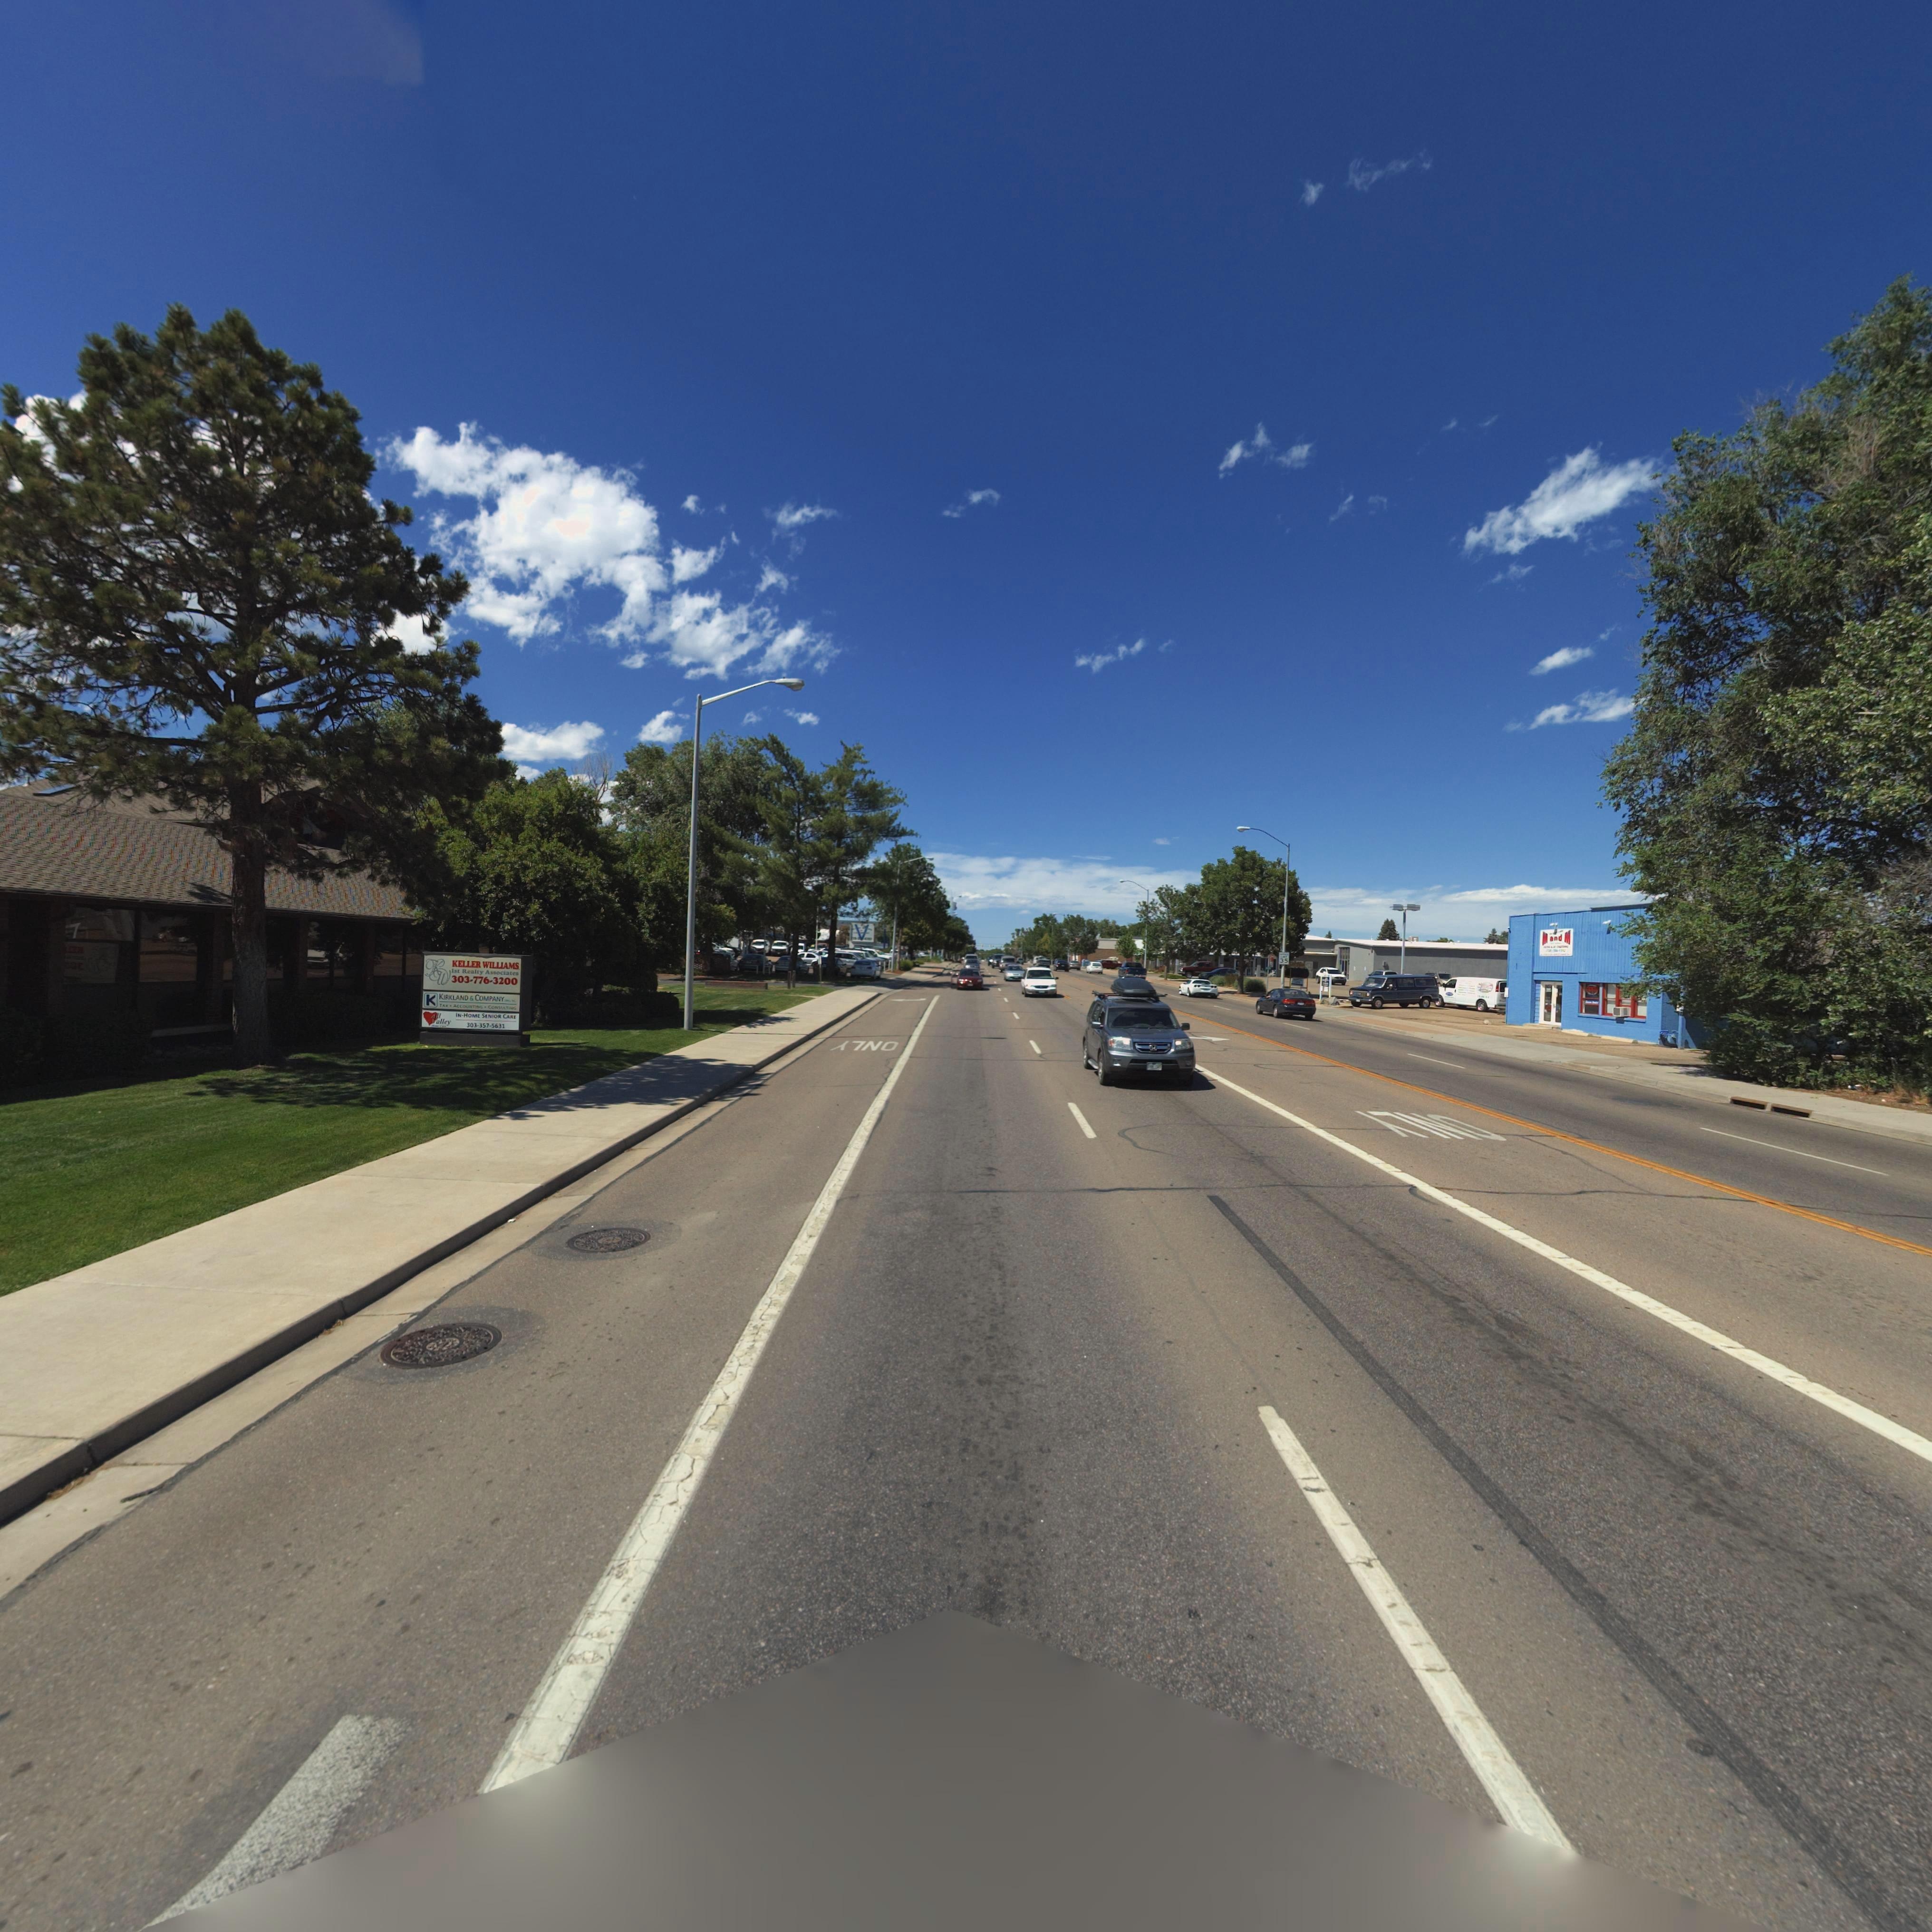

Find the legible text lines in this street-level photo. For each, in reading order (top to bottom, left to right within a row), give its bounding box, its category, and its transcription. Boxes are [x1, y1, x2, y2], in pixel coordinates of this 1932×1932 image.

[1542, 929, 1571, 946] BusinessName: M and M
[432, 959, 444, 976] BusinessName: K
[451, 968, 519, 976] BusinessName: 1st Realty Associates
[452, 959, 520, 970] BusinessName: KELLER WILLIAMS
[437, 969, 451, 985] BusinessName: W
[425, 994, 436, 1006] BusinessName: K
[438, 993, 505, 1002] BusinessName: KIRKLAND & COMPANY
[430, 1013, 442, 1019] BusinessName: All
[455, 1012, 517, 1019] BusinessName: IN-HOME SENIOR CARE
[432, 1018, 452, 1026] BusinessName: Valley